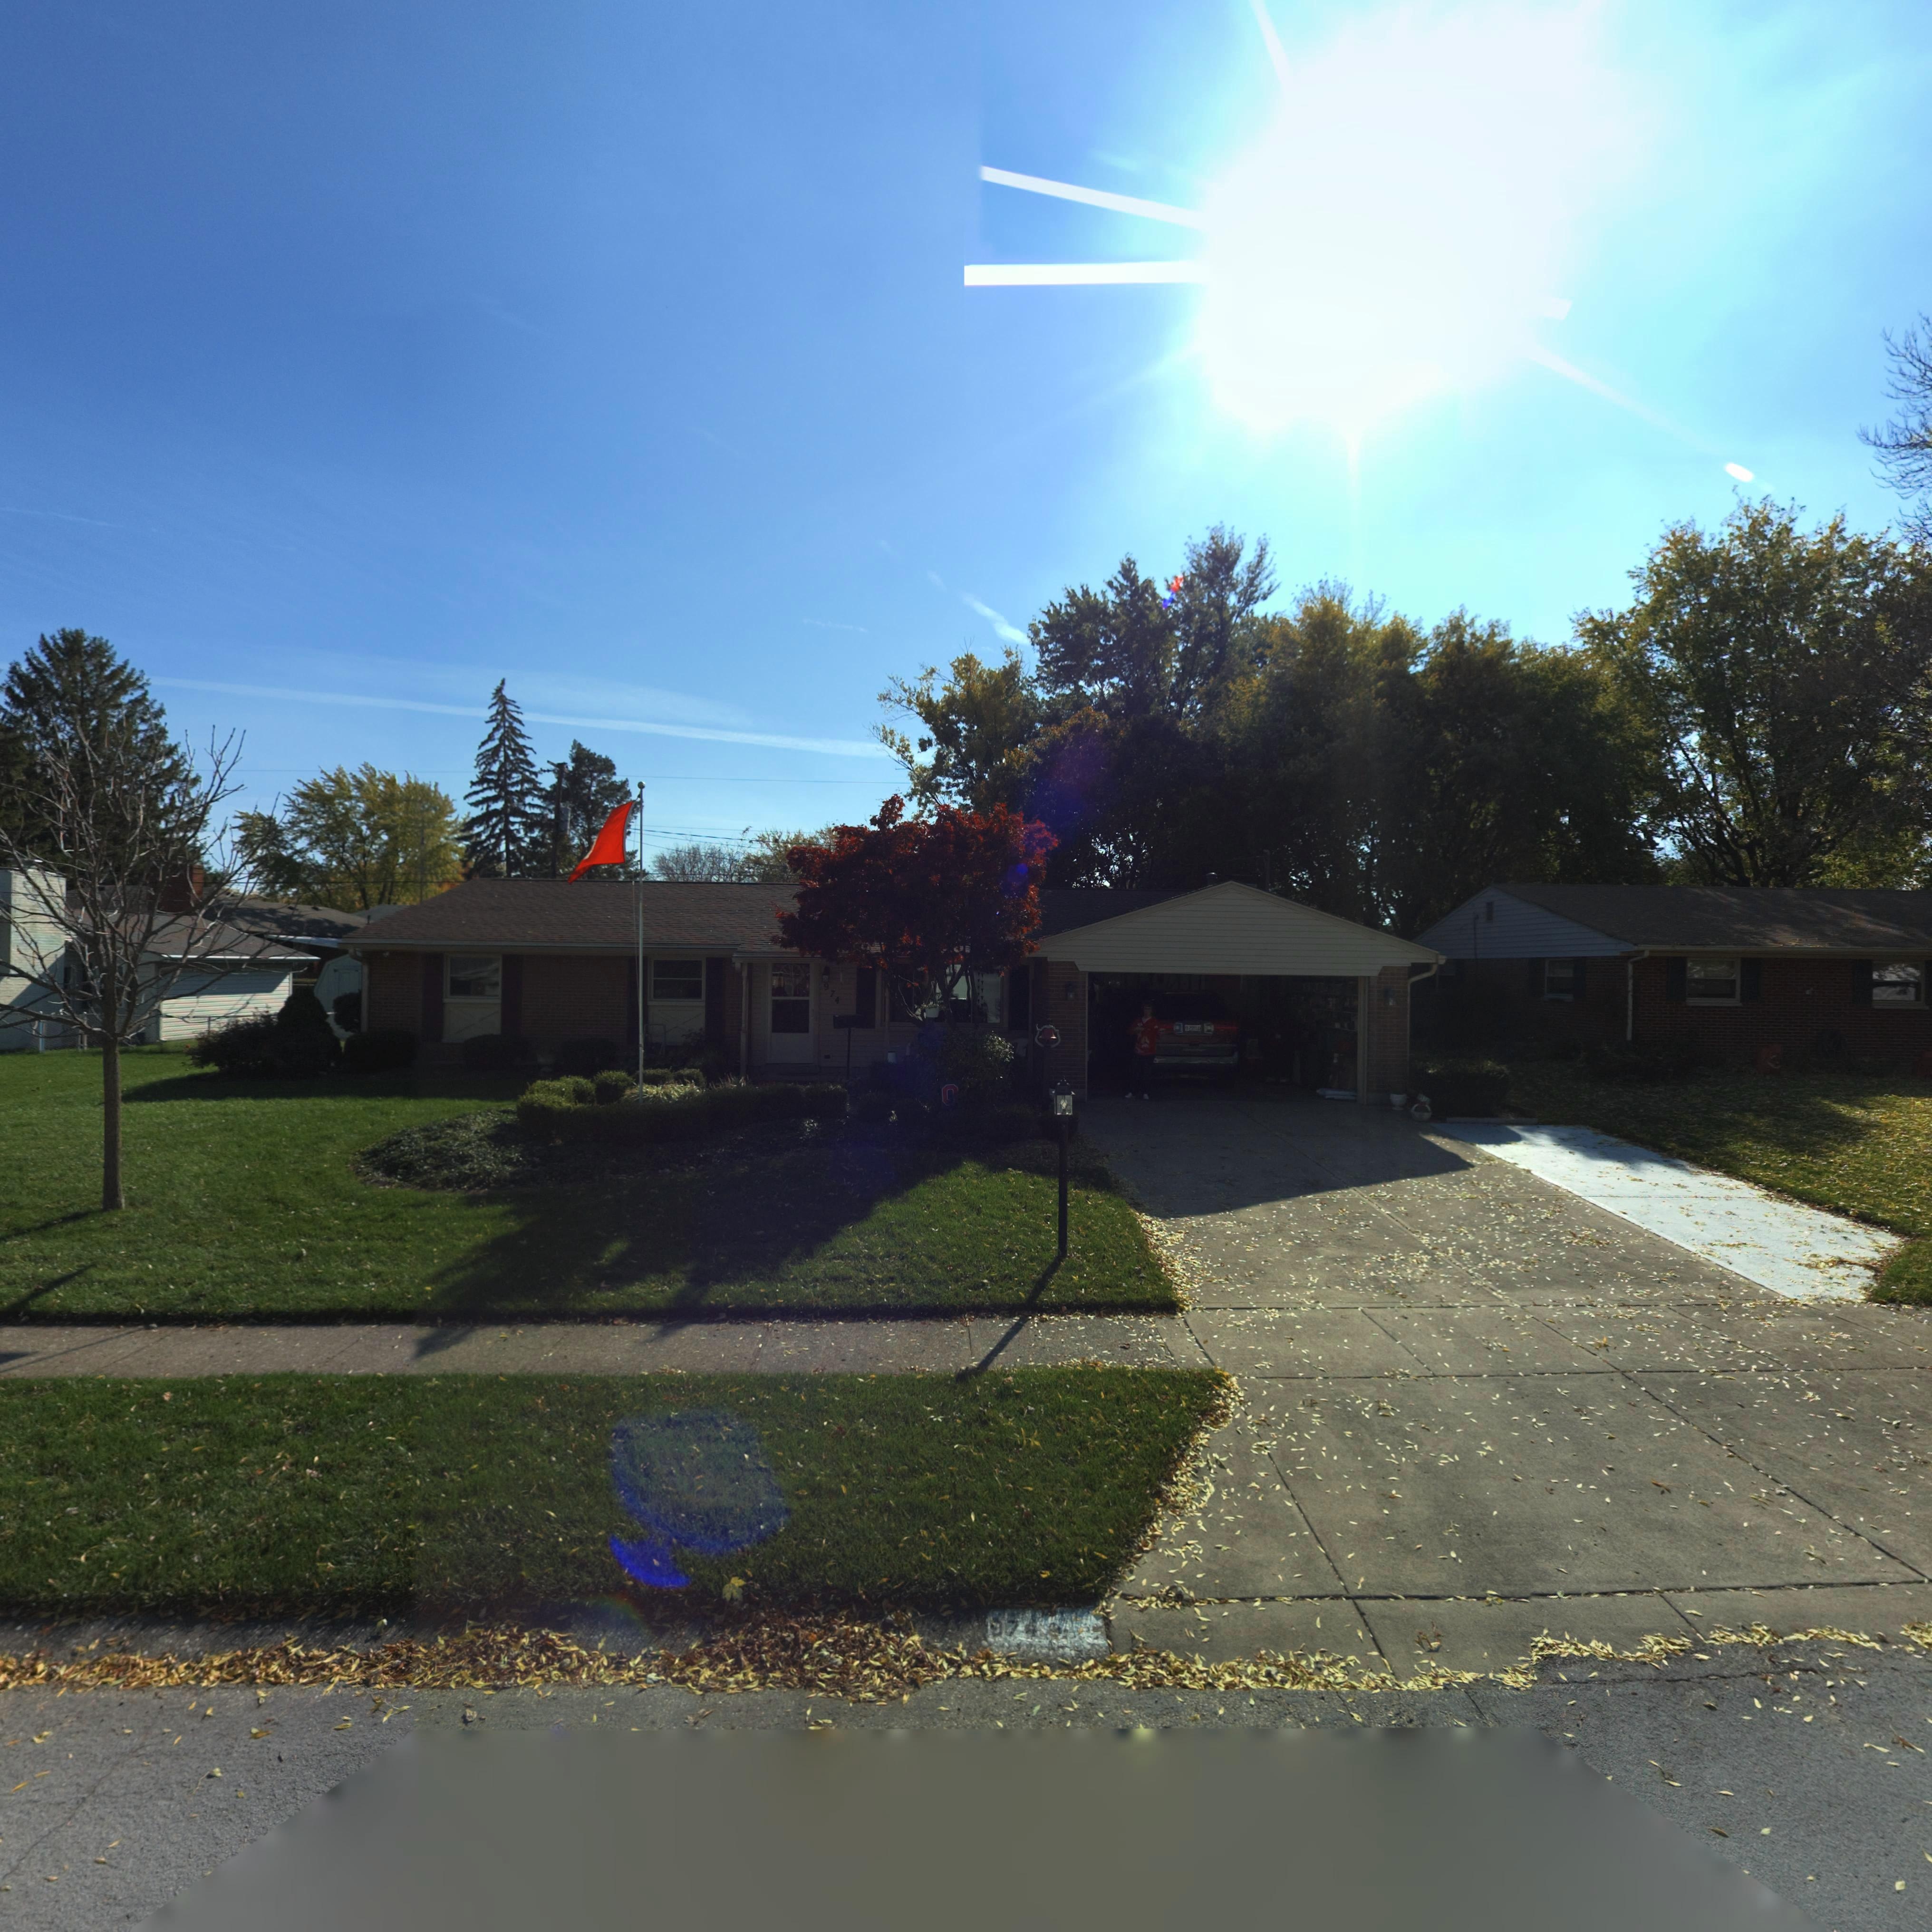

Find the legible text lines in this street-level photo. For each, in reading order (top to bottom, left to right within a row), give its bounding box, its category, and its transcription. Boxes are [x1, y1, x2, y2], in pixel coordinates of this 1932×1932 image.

[823, 983, 840, 1005] StreetNumber: 974
[1188, 1026, 1196, 1031] None: 299
[988, 1616, 1039, 1638] StreetNumber: 974
[1047, 1622, 1063, 1638] StreetNumber: 9